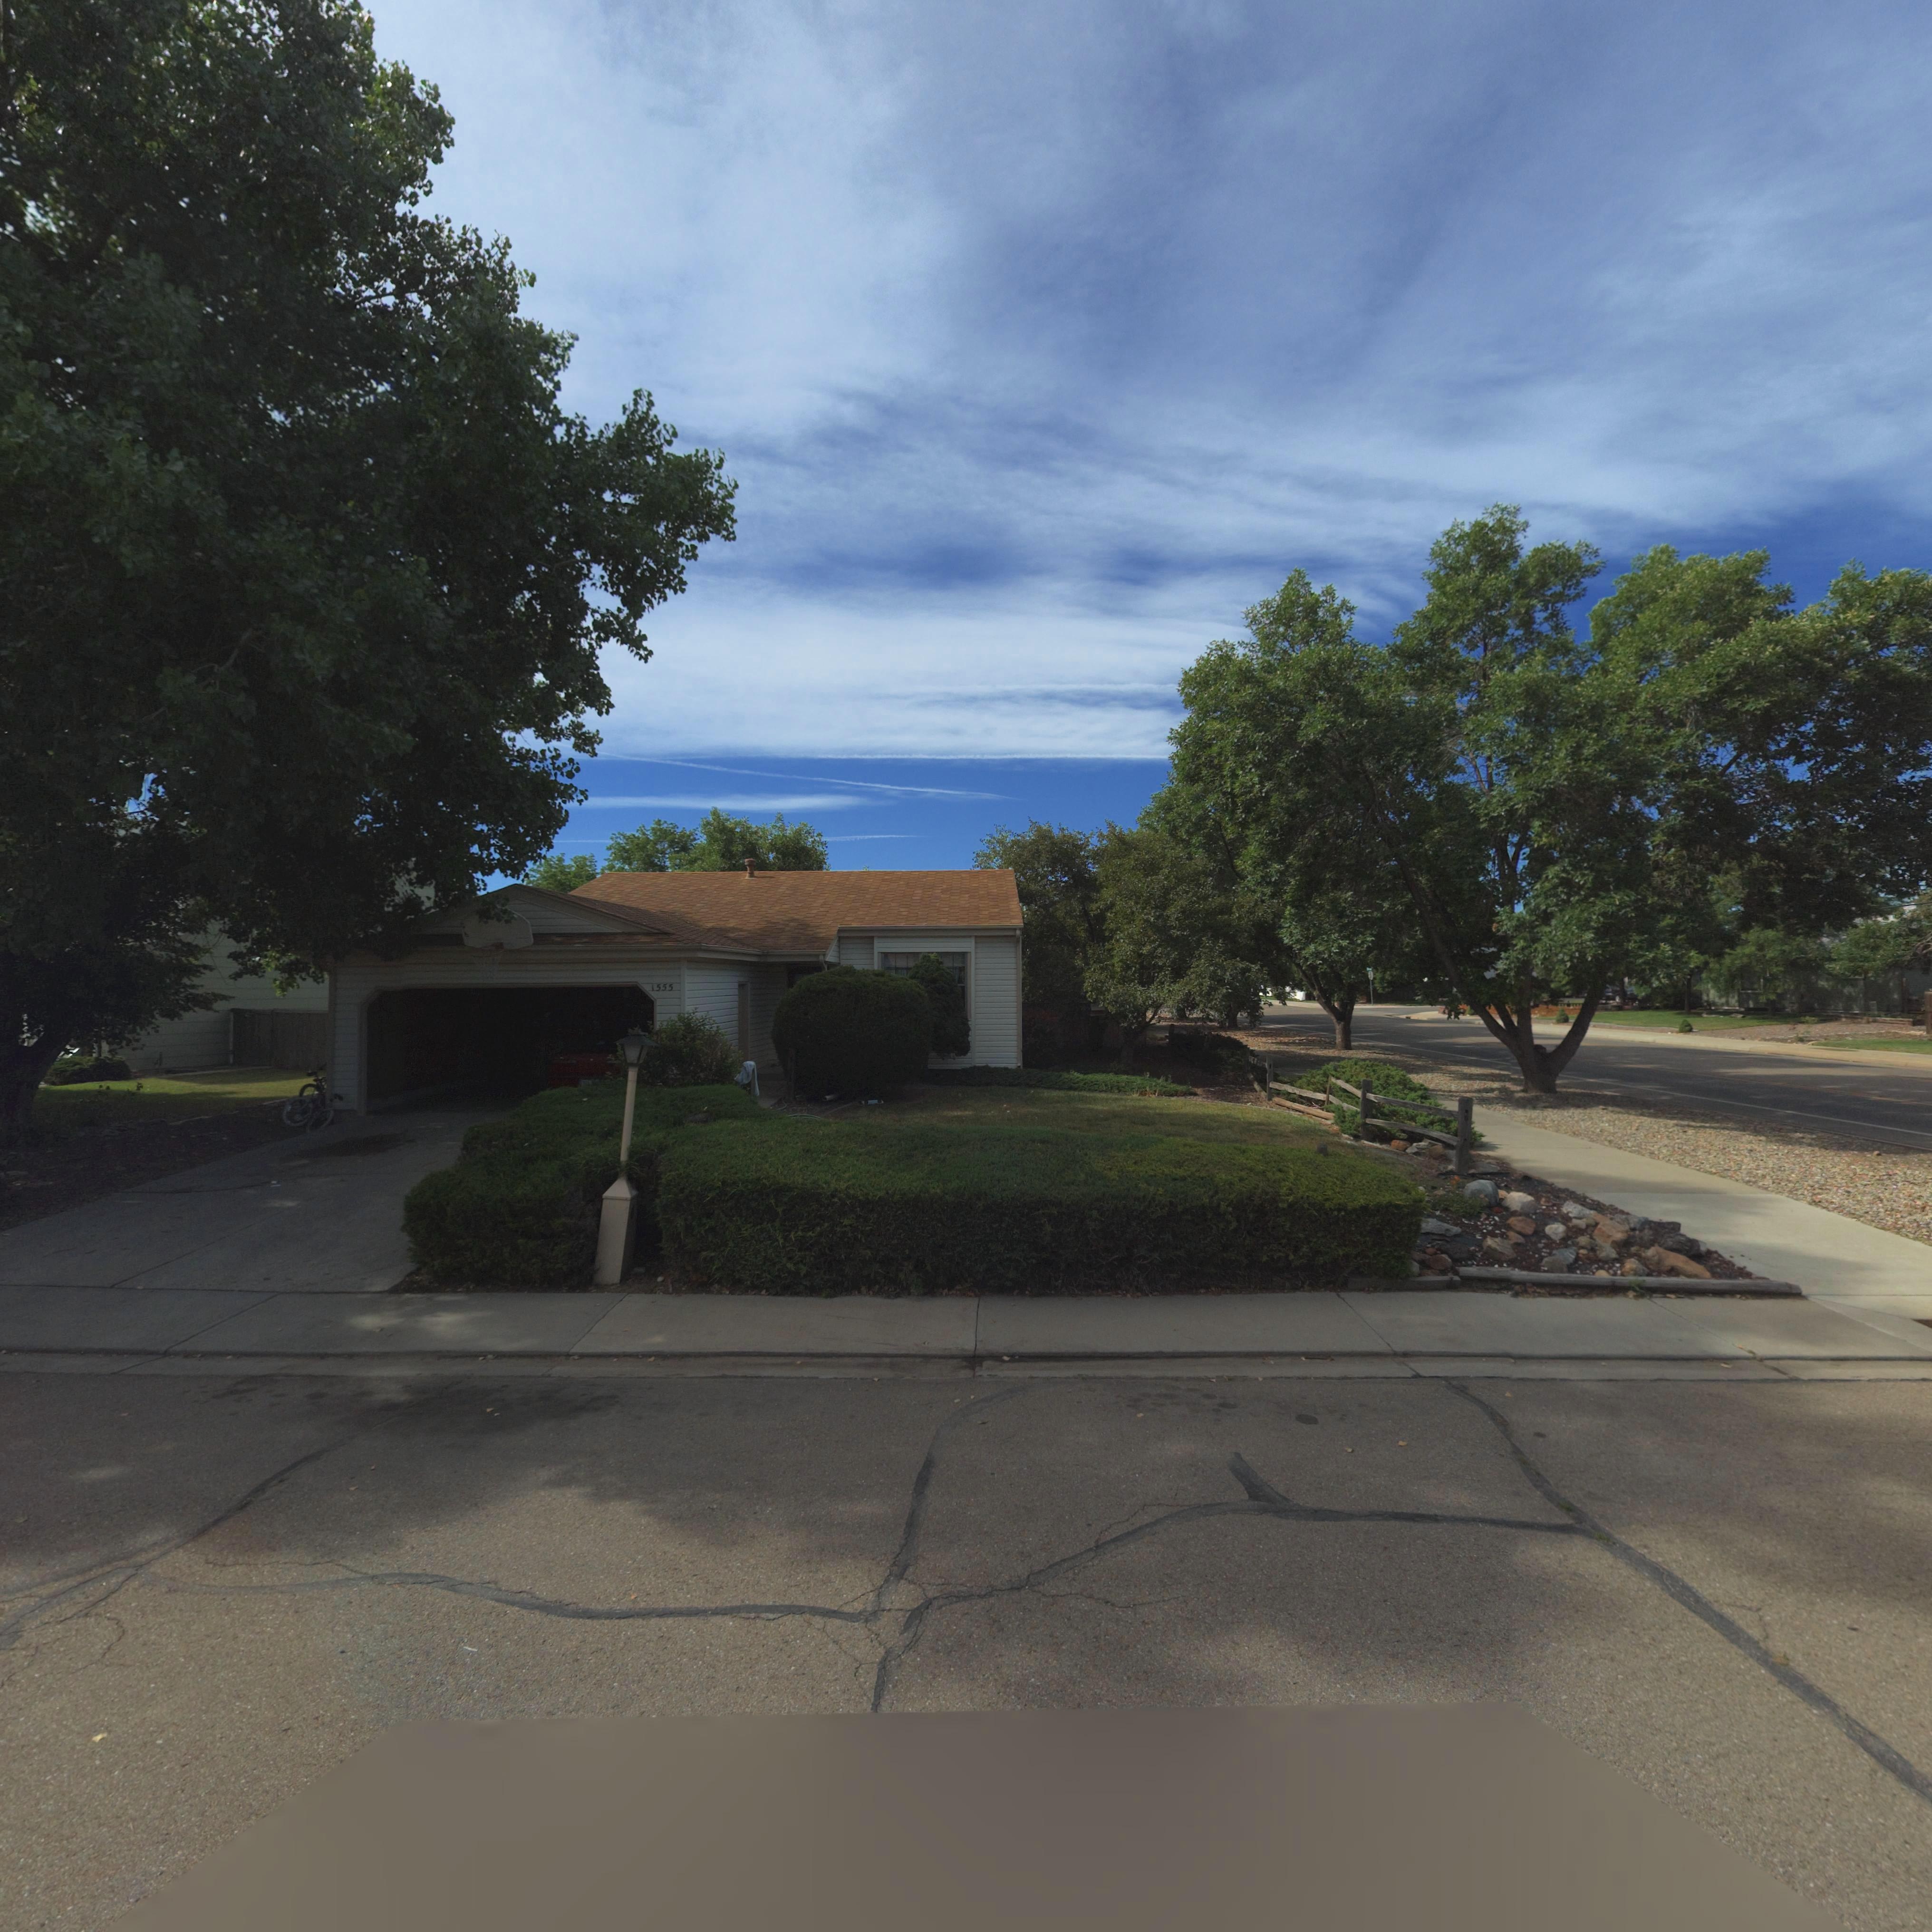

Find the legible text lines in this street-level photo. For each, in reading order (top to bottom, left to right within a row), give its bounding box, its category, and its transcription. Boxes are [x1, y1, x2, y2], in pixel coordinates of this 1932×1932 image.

[651, 983, 674, 991] StreetNumber: 1555